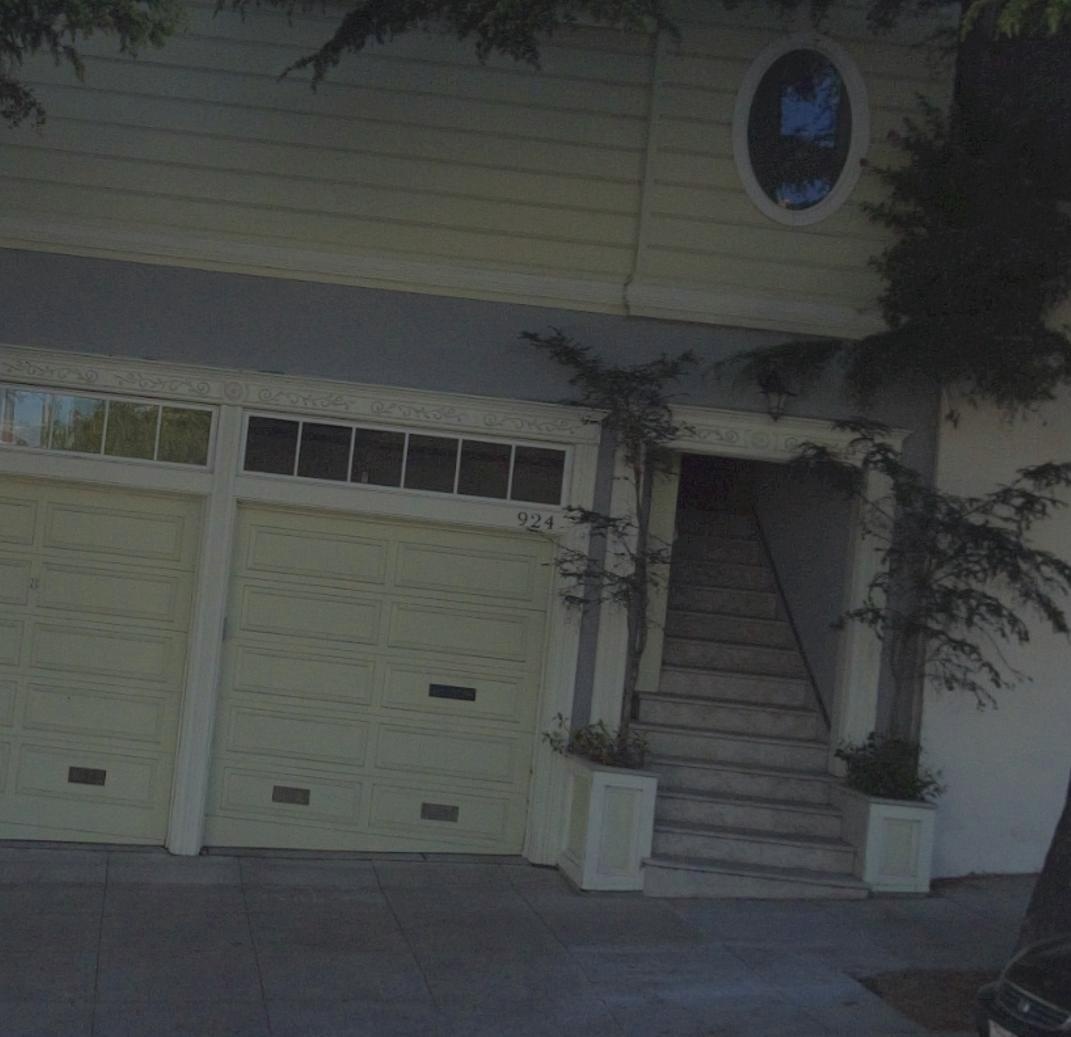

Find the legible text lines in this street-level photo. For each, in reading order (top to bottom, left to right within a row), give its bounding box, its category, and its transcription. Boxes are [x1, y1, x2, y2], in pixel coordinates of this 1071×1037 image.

[516, 510, 555, 531] StreetNumber: 924